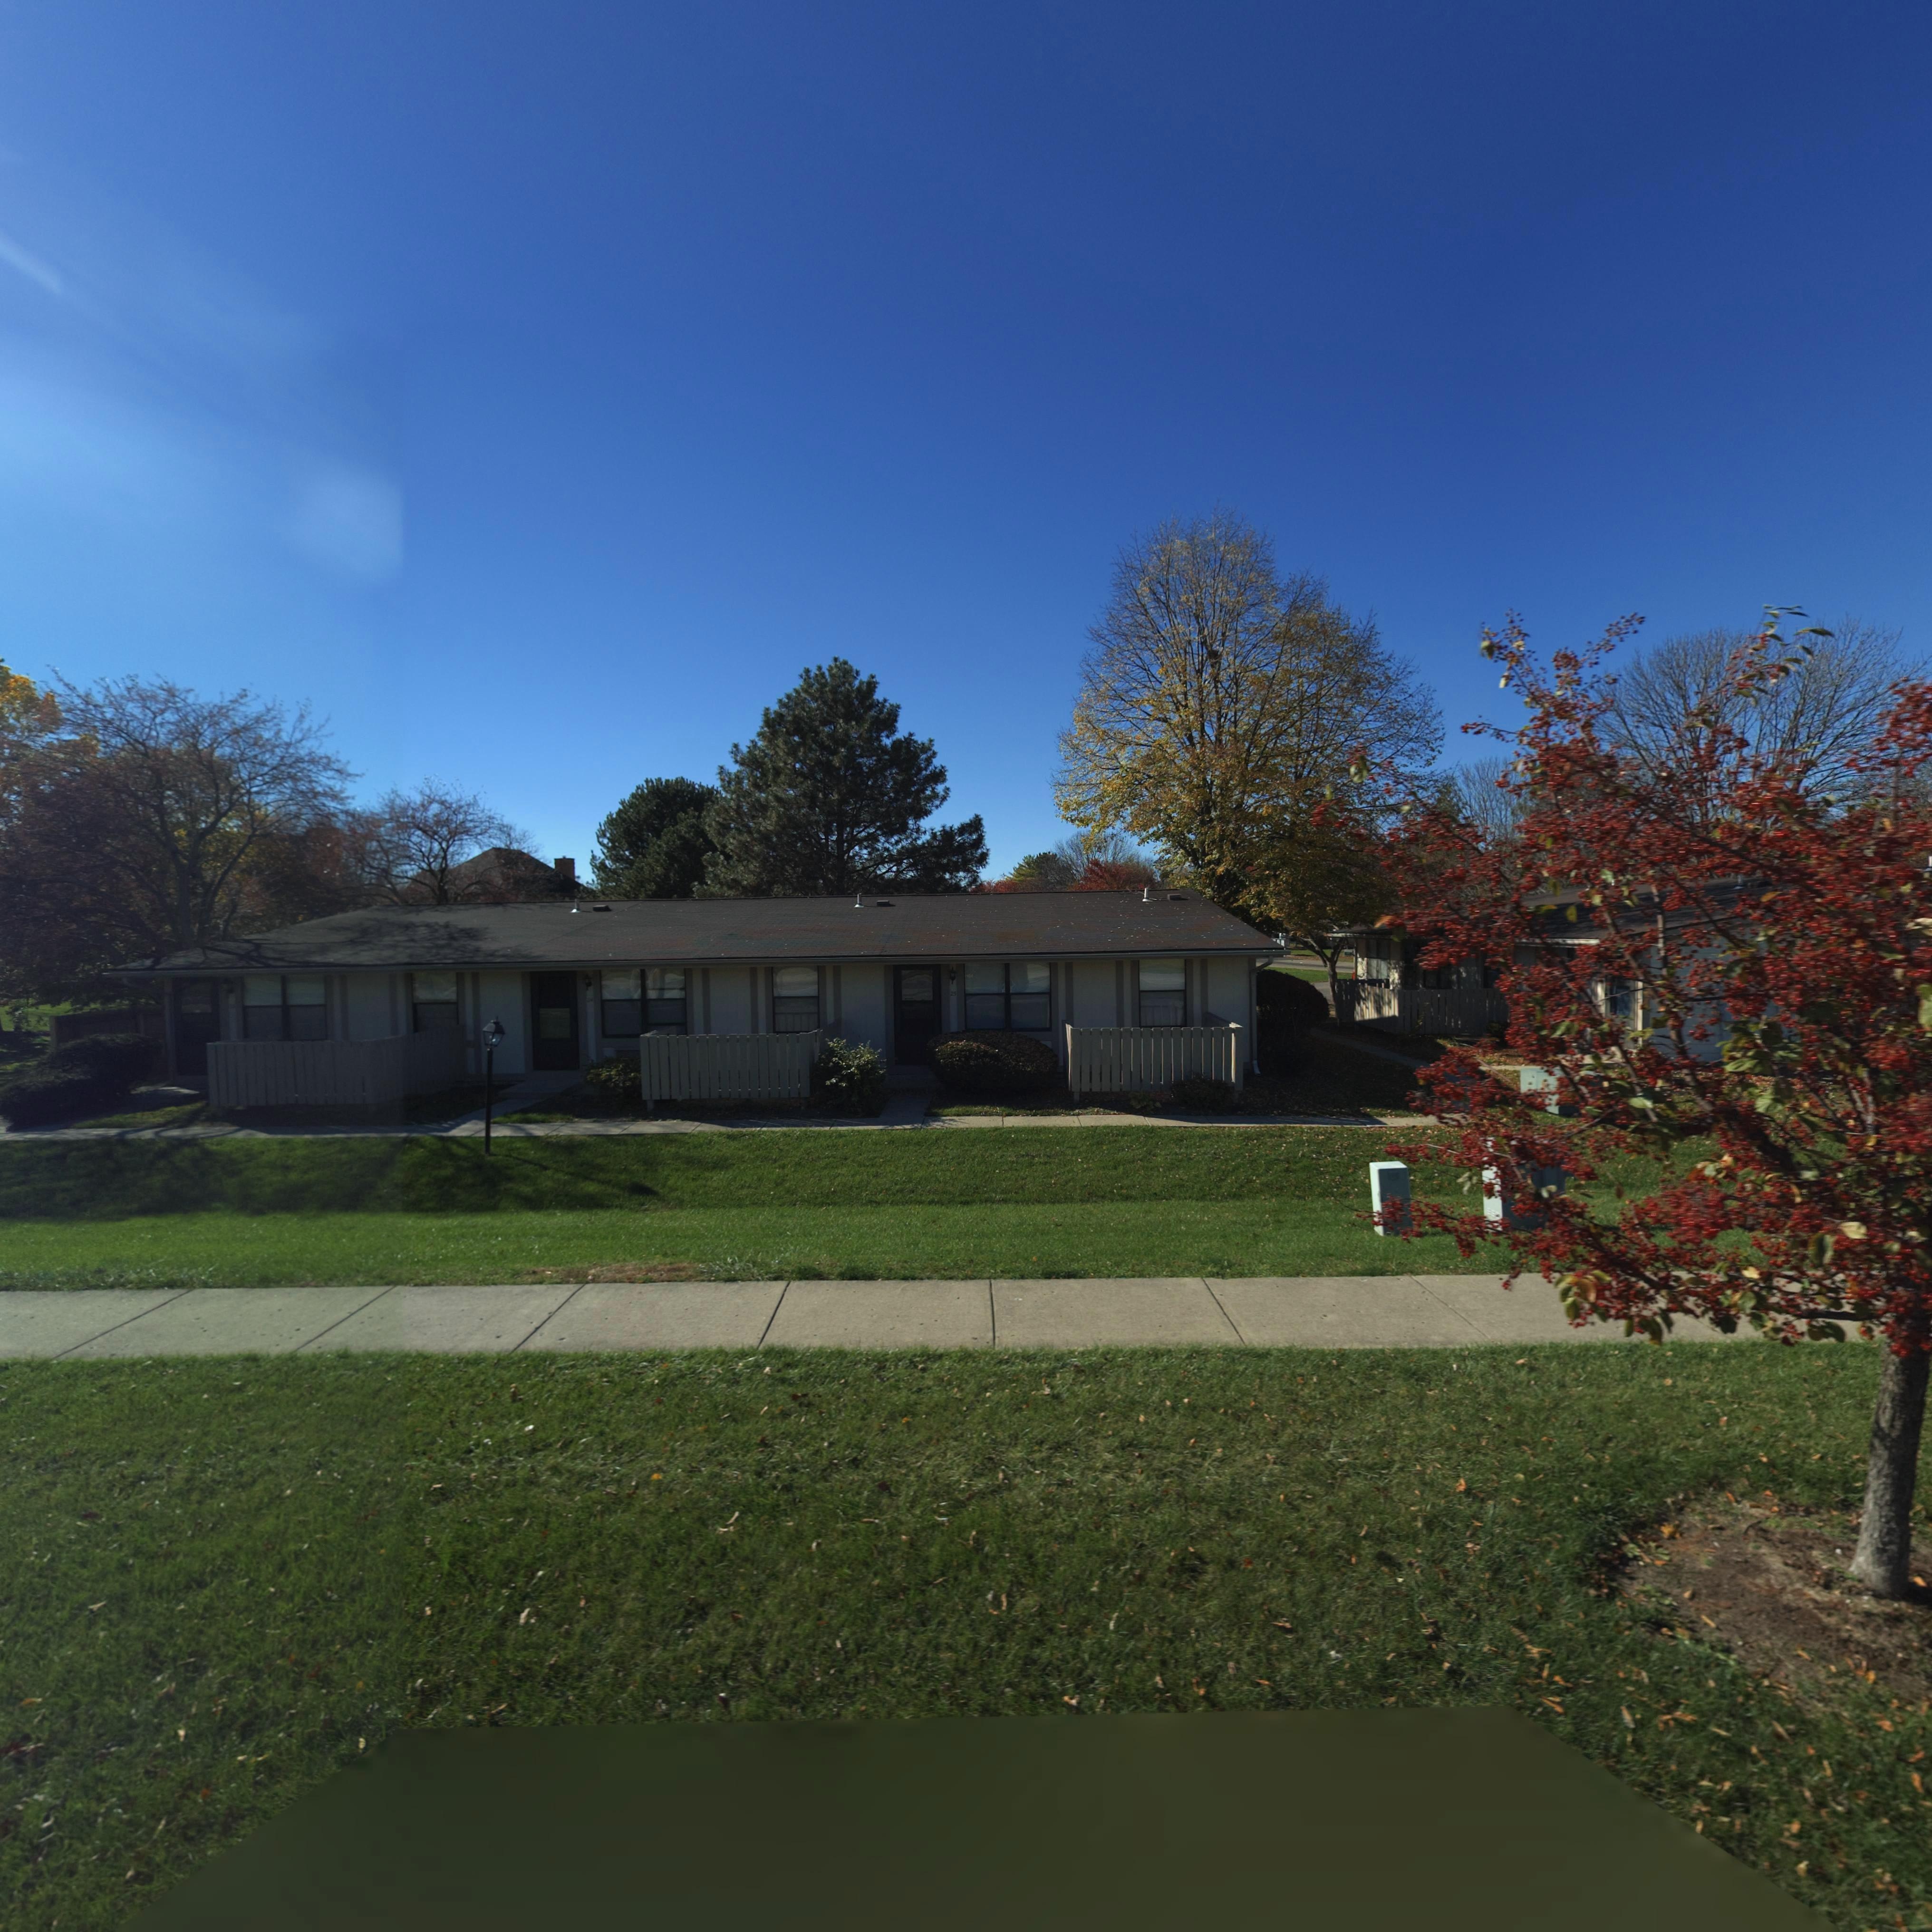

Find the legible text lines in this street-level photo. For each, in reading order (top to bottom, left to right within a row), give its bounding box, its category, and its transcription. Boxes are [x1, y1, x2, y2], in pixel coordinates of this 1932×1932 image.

[949, 991, 957, 997] StreetNumber: 25